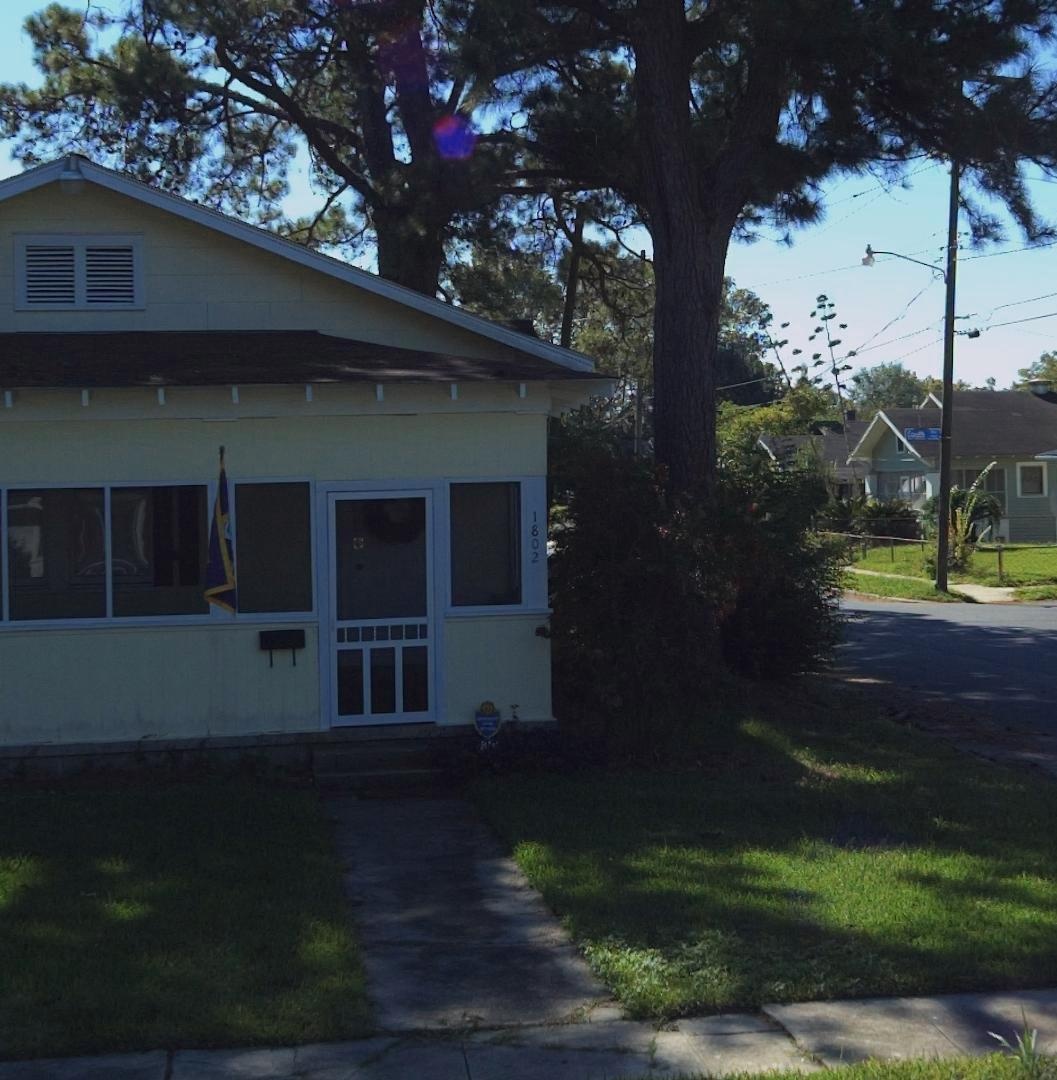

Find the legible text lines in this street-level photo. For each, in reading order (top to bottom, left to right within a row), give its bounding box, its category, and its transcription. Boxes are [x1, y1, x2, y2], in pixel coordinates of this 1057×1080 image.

[530, 509, 540, 566] StreetNumber: 1802